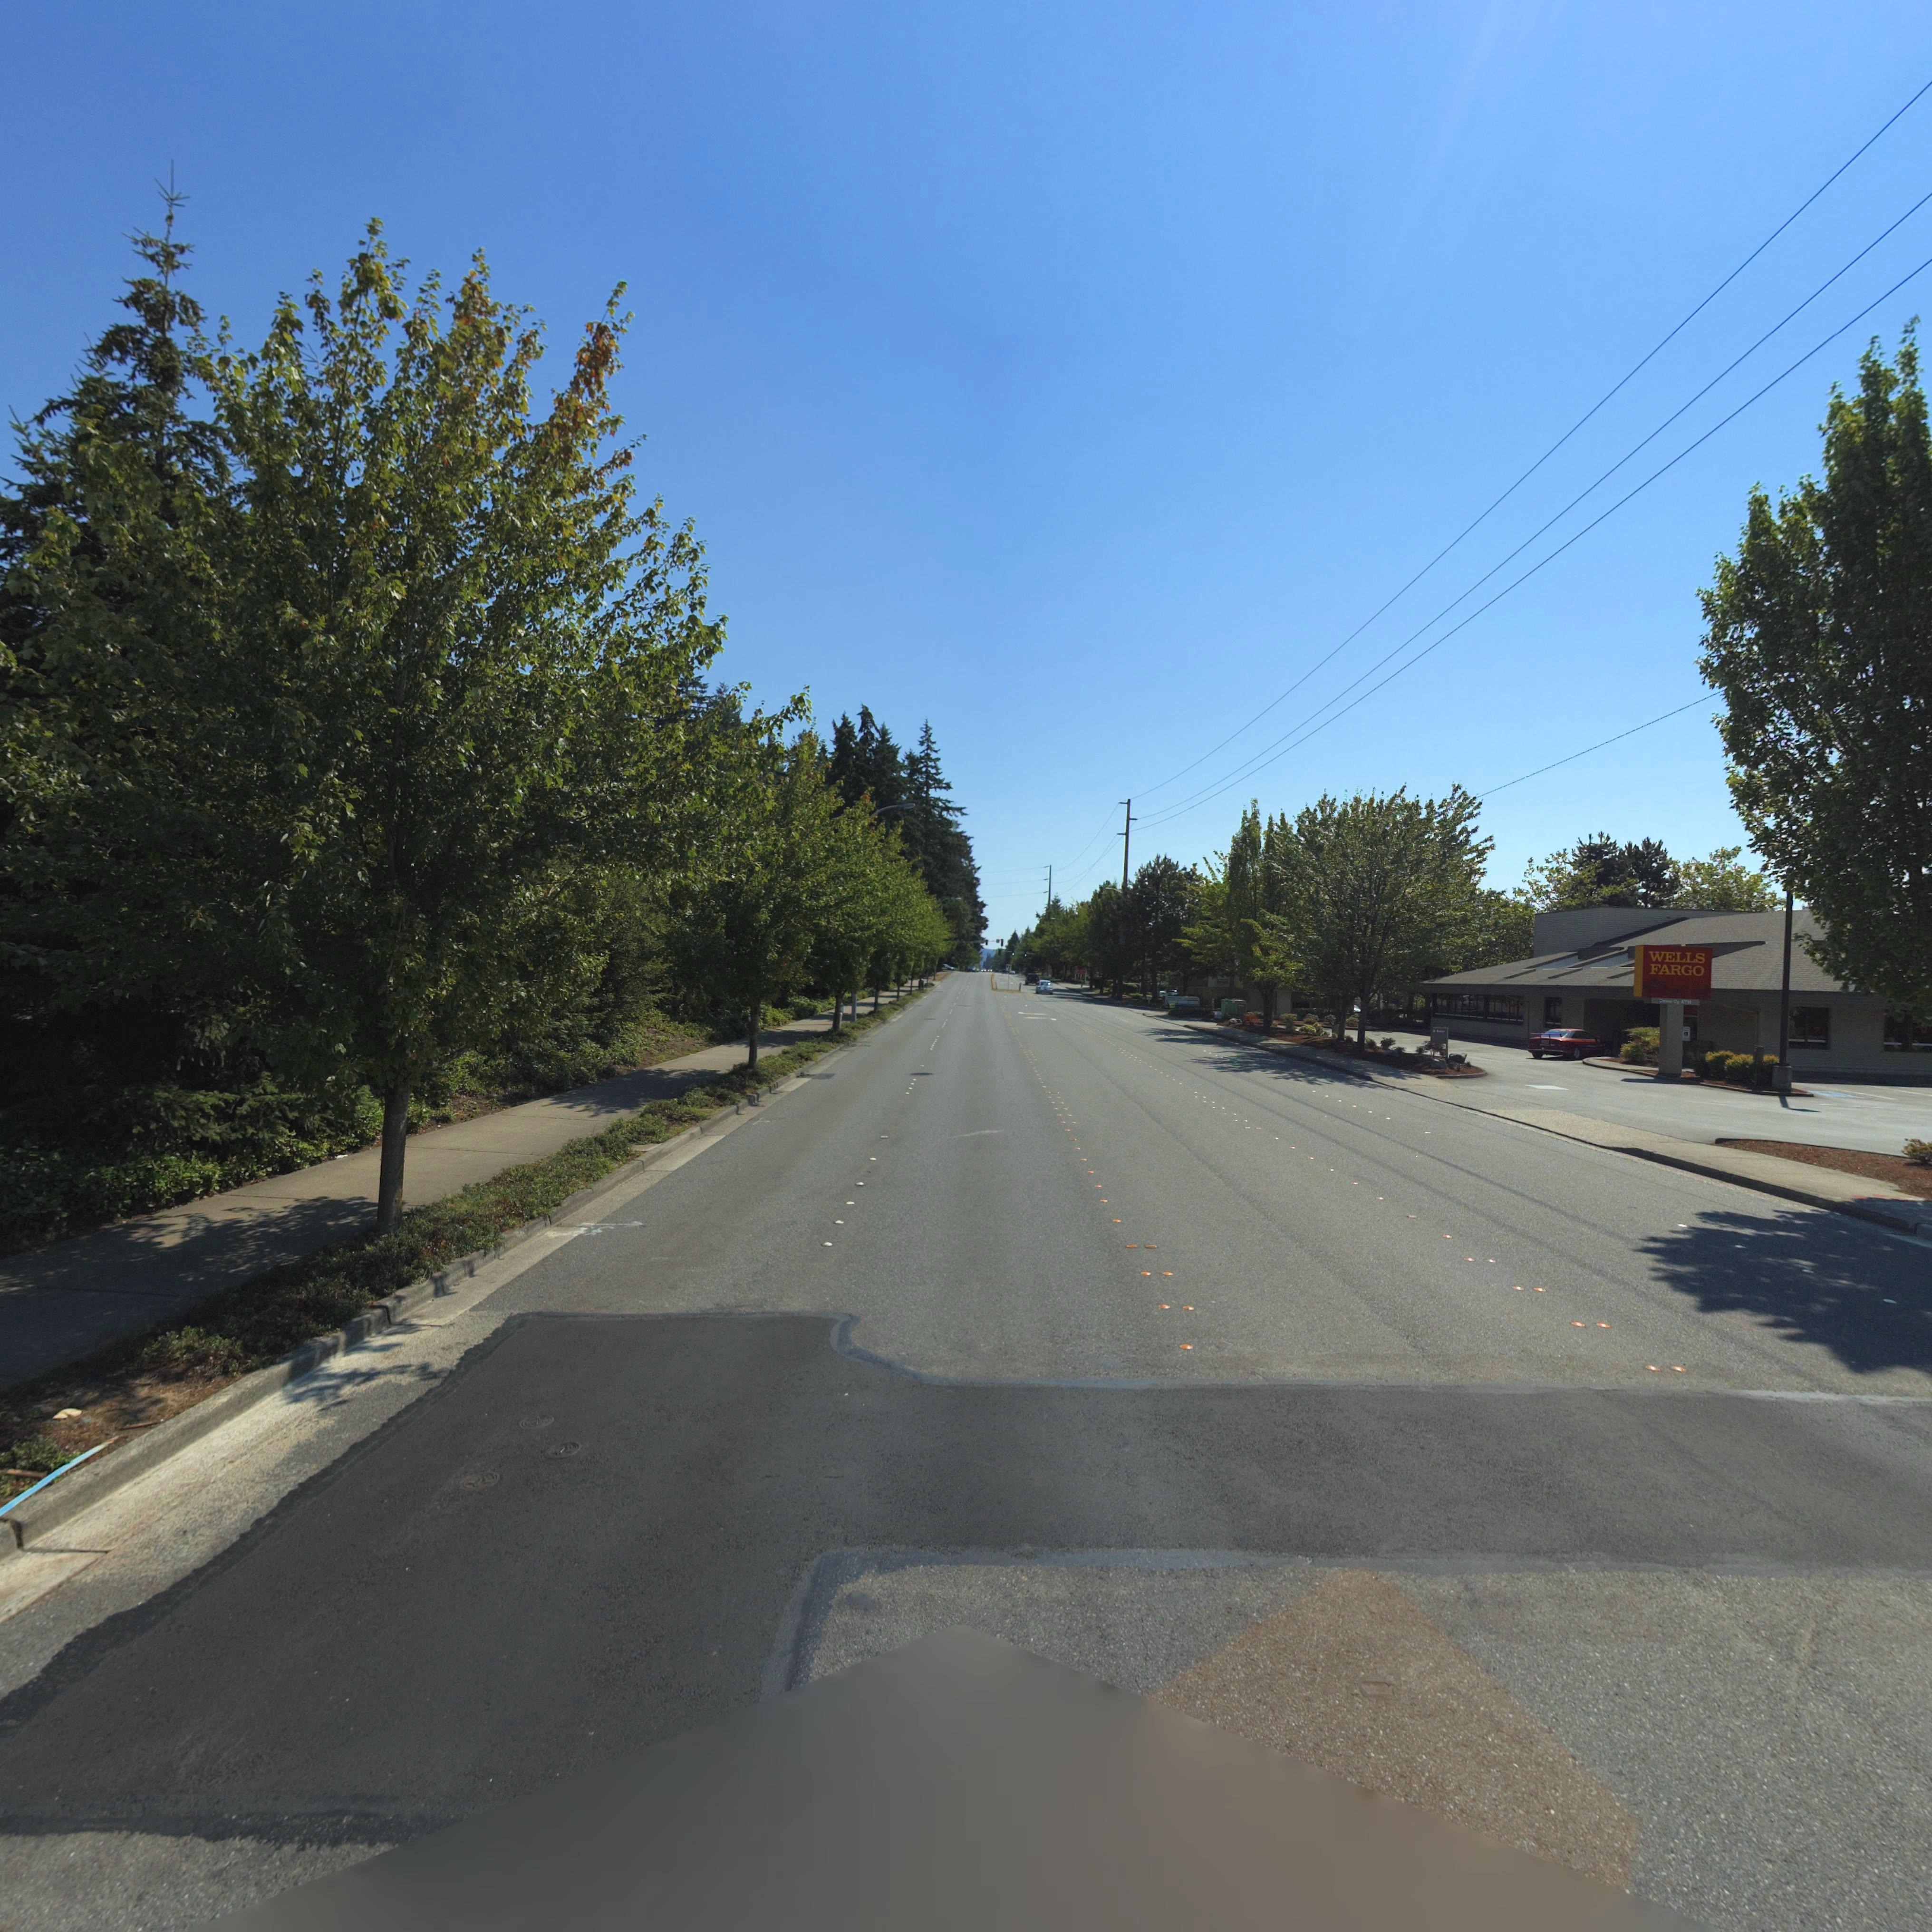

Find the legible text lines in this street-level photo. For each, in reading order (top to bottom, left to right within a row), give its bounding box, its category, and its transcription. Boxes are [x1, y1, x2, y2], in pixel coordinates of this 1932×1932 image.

[1649, 951, 1704, 962] BusinessName: WELLS
[1649, 964, 1704, 976] StreetNumber: FARGO